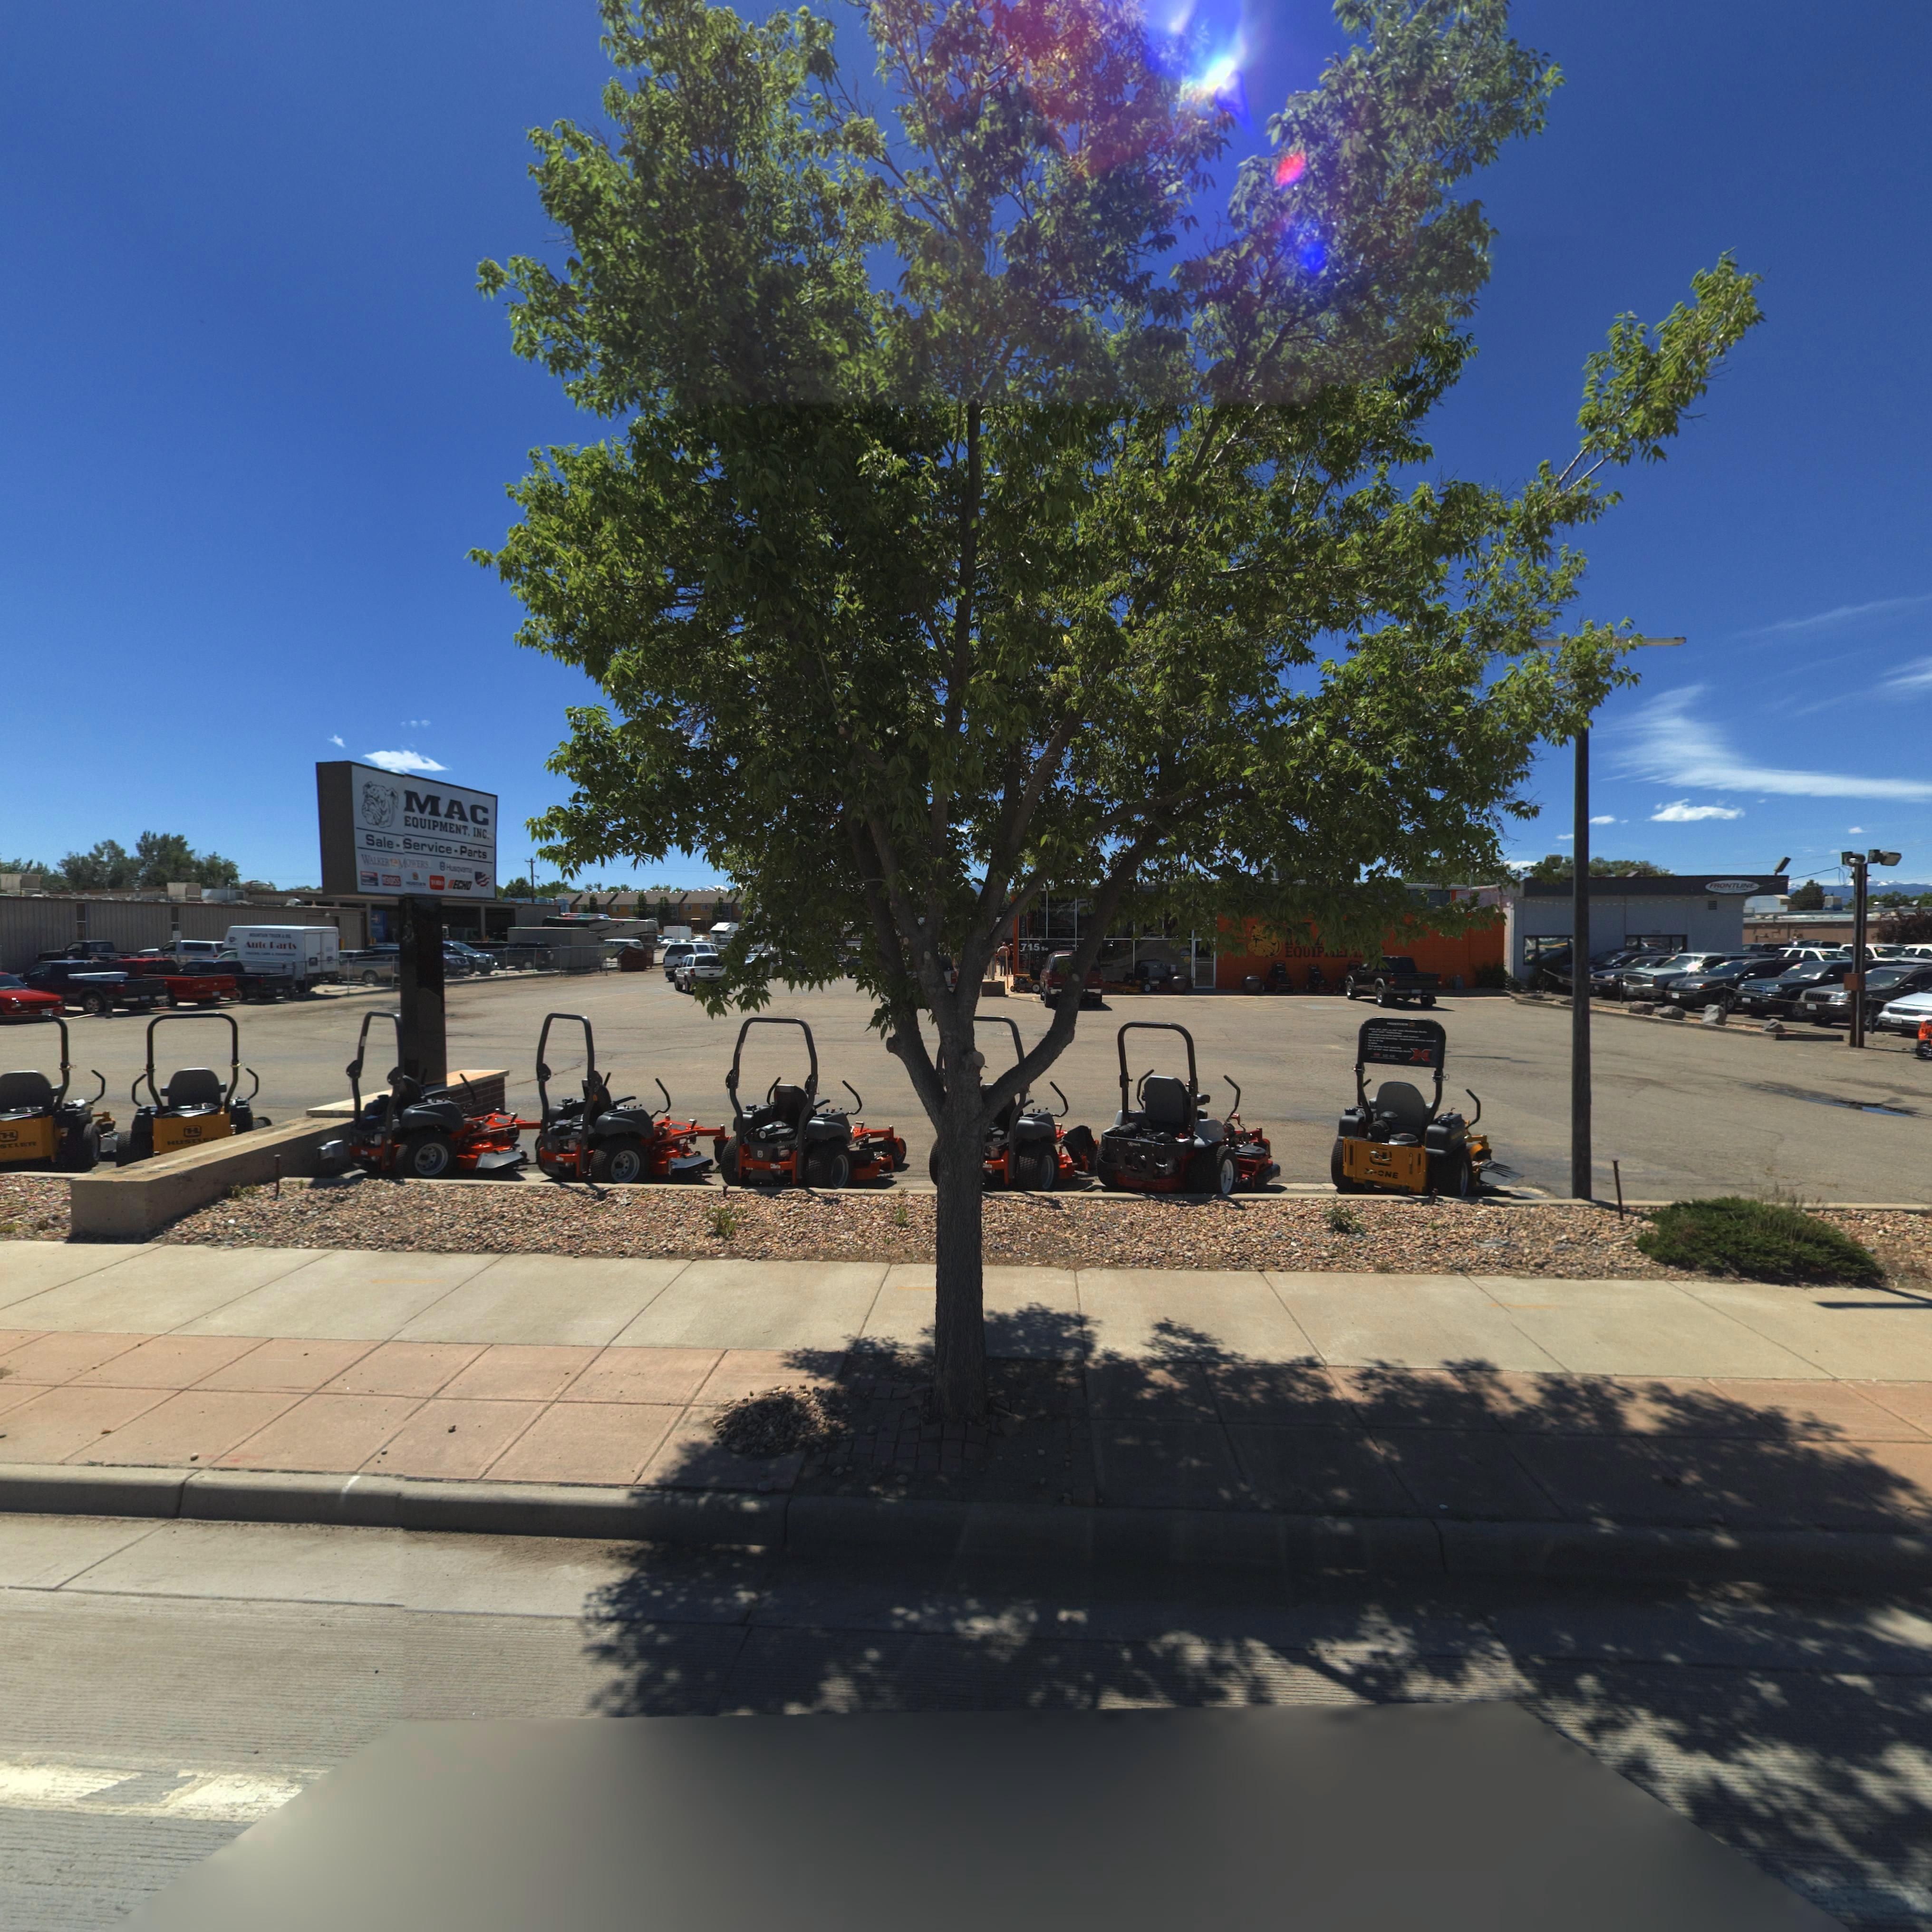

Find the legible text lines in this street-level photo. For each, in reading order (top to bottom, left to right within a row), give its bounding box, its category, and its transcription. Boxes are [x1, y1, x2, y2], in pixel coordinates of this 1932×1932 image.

[404, 790, 488, 826] BusinessName: MAC
[403, 813, 489, 841] BusinessName: EQUIPMENT, INC.
[1709, 882, 1755, 889] BusinessName: FRONTLINE
[1021, 943, 1040, 951] StreetNumber: 715